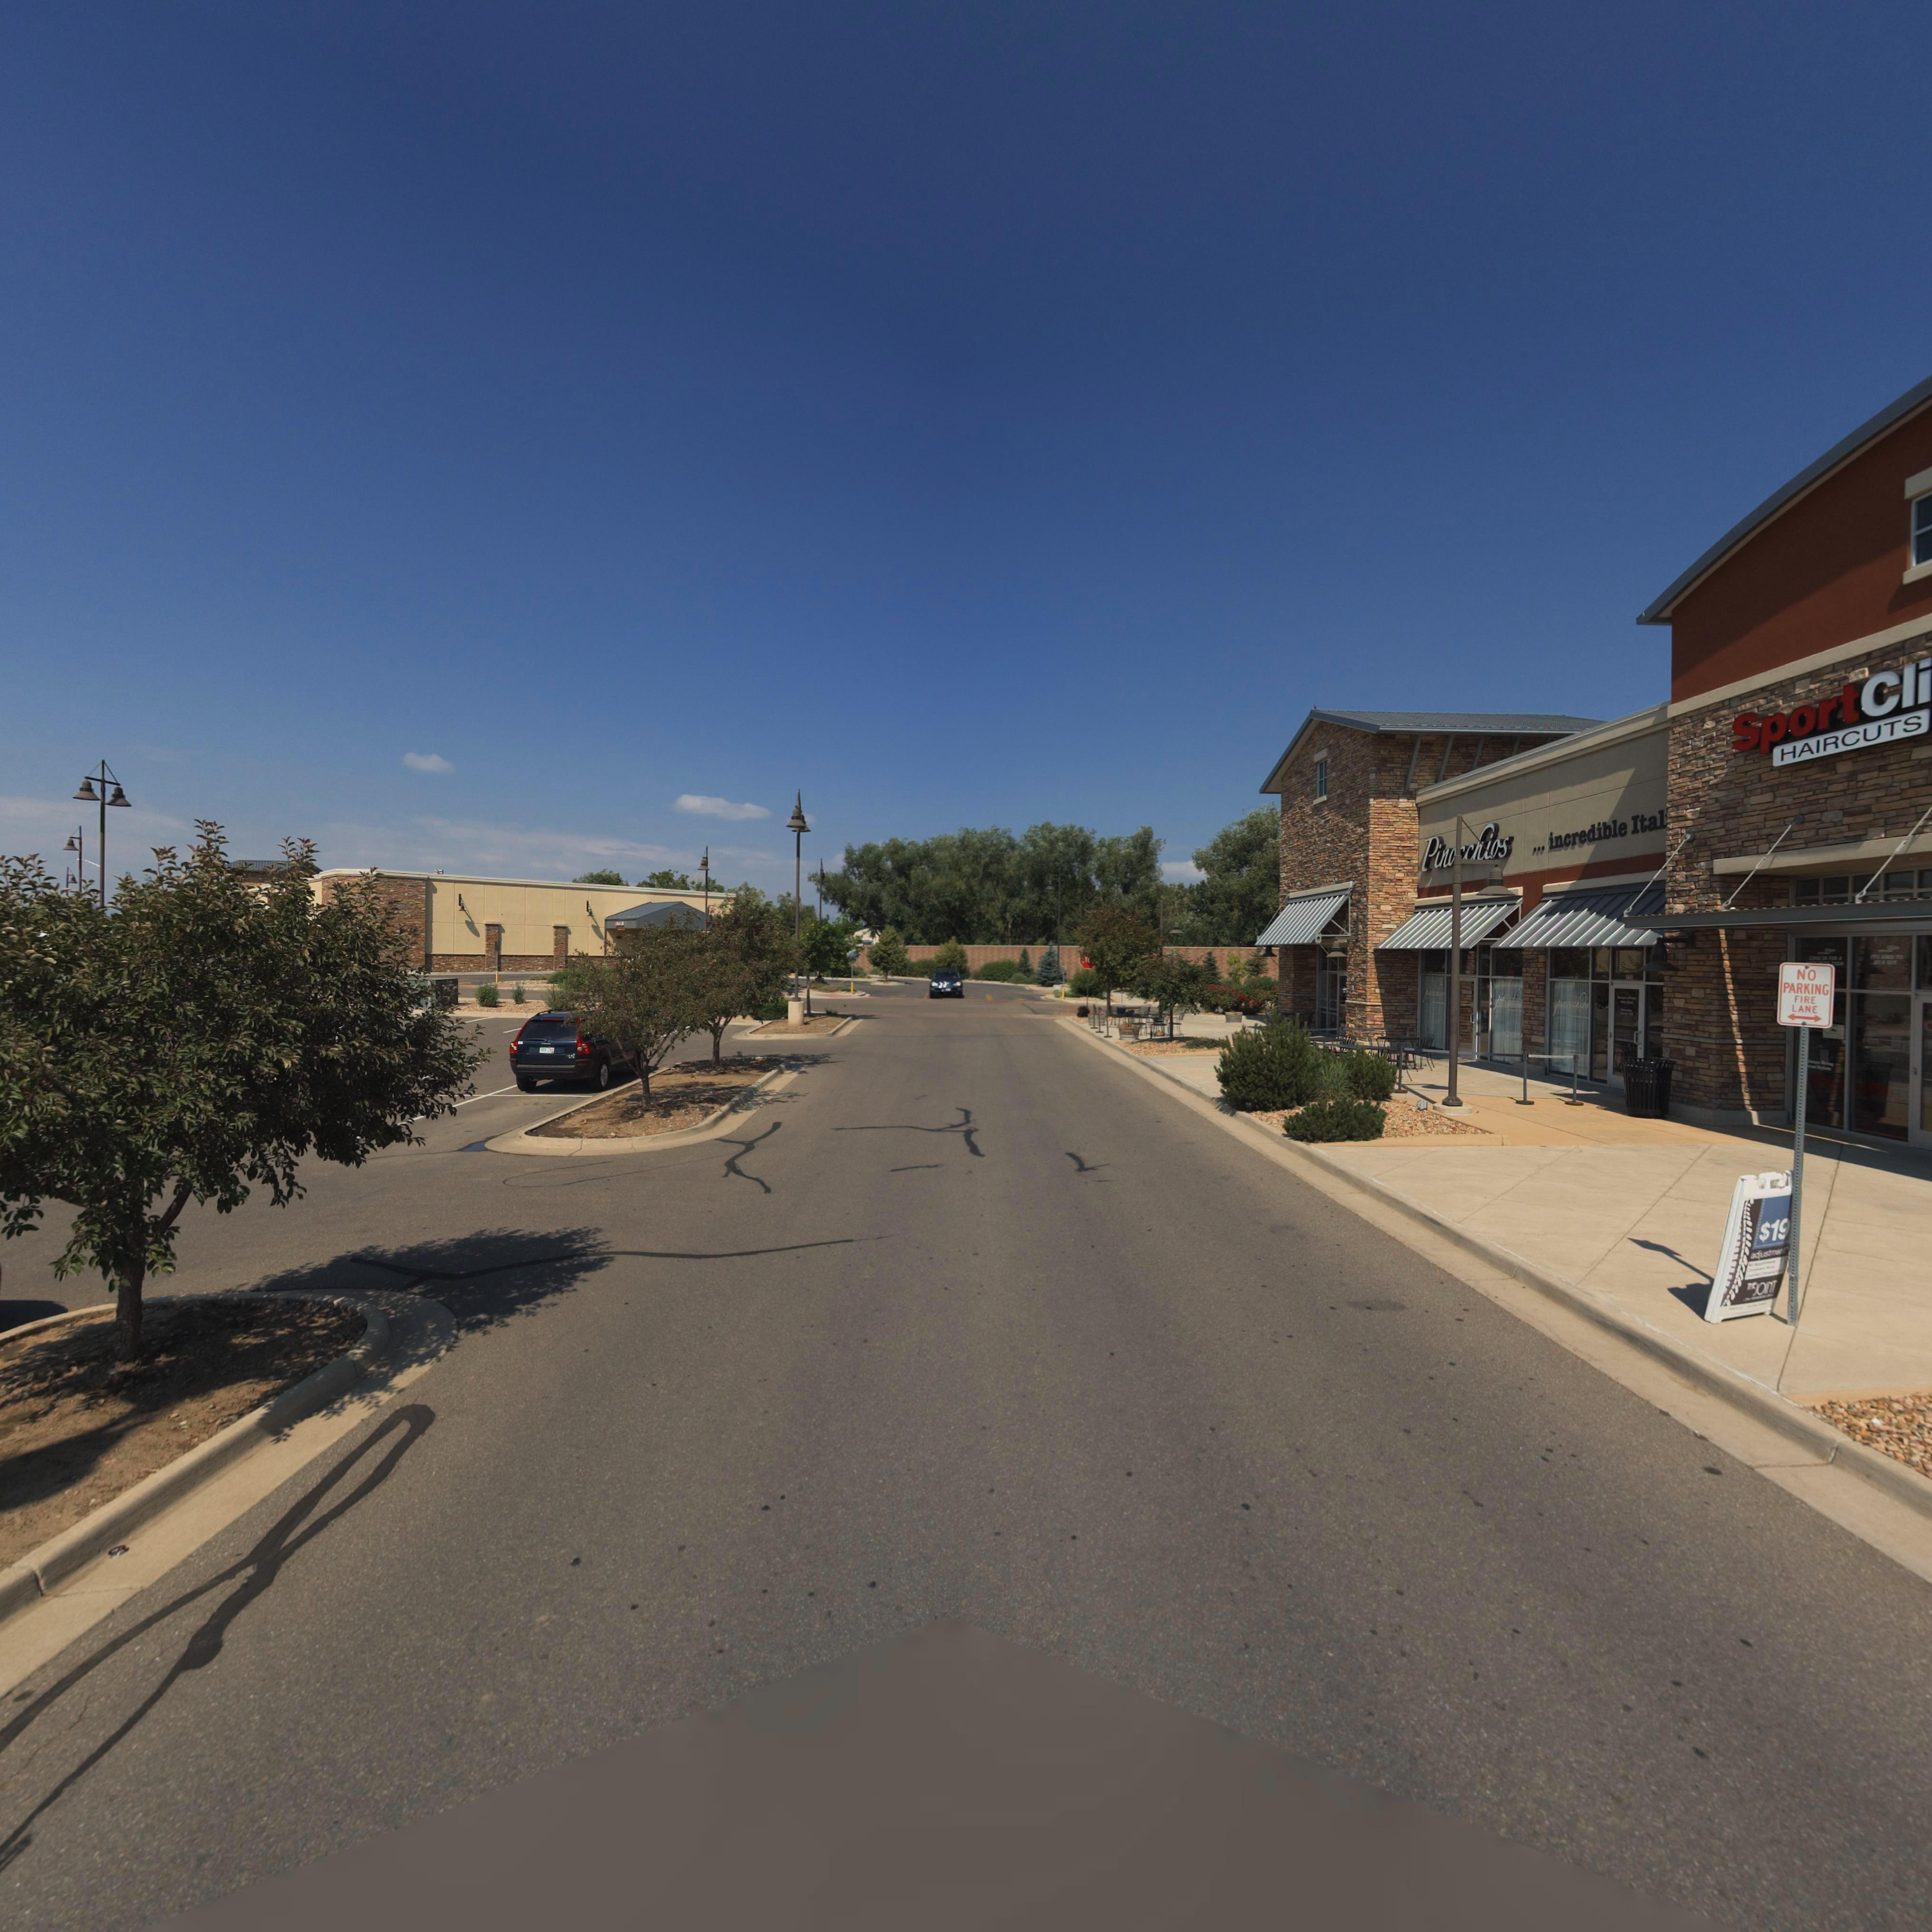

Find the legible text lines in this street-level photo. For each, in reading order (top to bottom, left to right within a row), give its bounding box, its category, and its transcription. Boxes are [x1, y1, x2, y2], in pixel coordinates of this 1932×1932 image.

[1731, 657, 1931, 754] BusinessName: SportCli
[1780, 714, 1922, 762] BusinessName: HAIRCUTS
[1421, 809, 1668, 872] None: Pino*chios ... incredible Ital*
[1824, 948, 1835, 952] BusinessName: Clips
[1421, 984, 1444, 1002] BusinessName: pinocchio
[1492, 986, 1522, 1010] BusinessName: pinocchios
[1552, 992, 1590, 1016] BusinessName: pinocchios
[1747, 1280, 1777, 1296] BusinessName: T*E JOINT